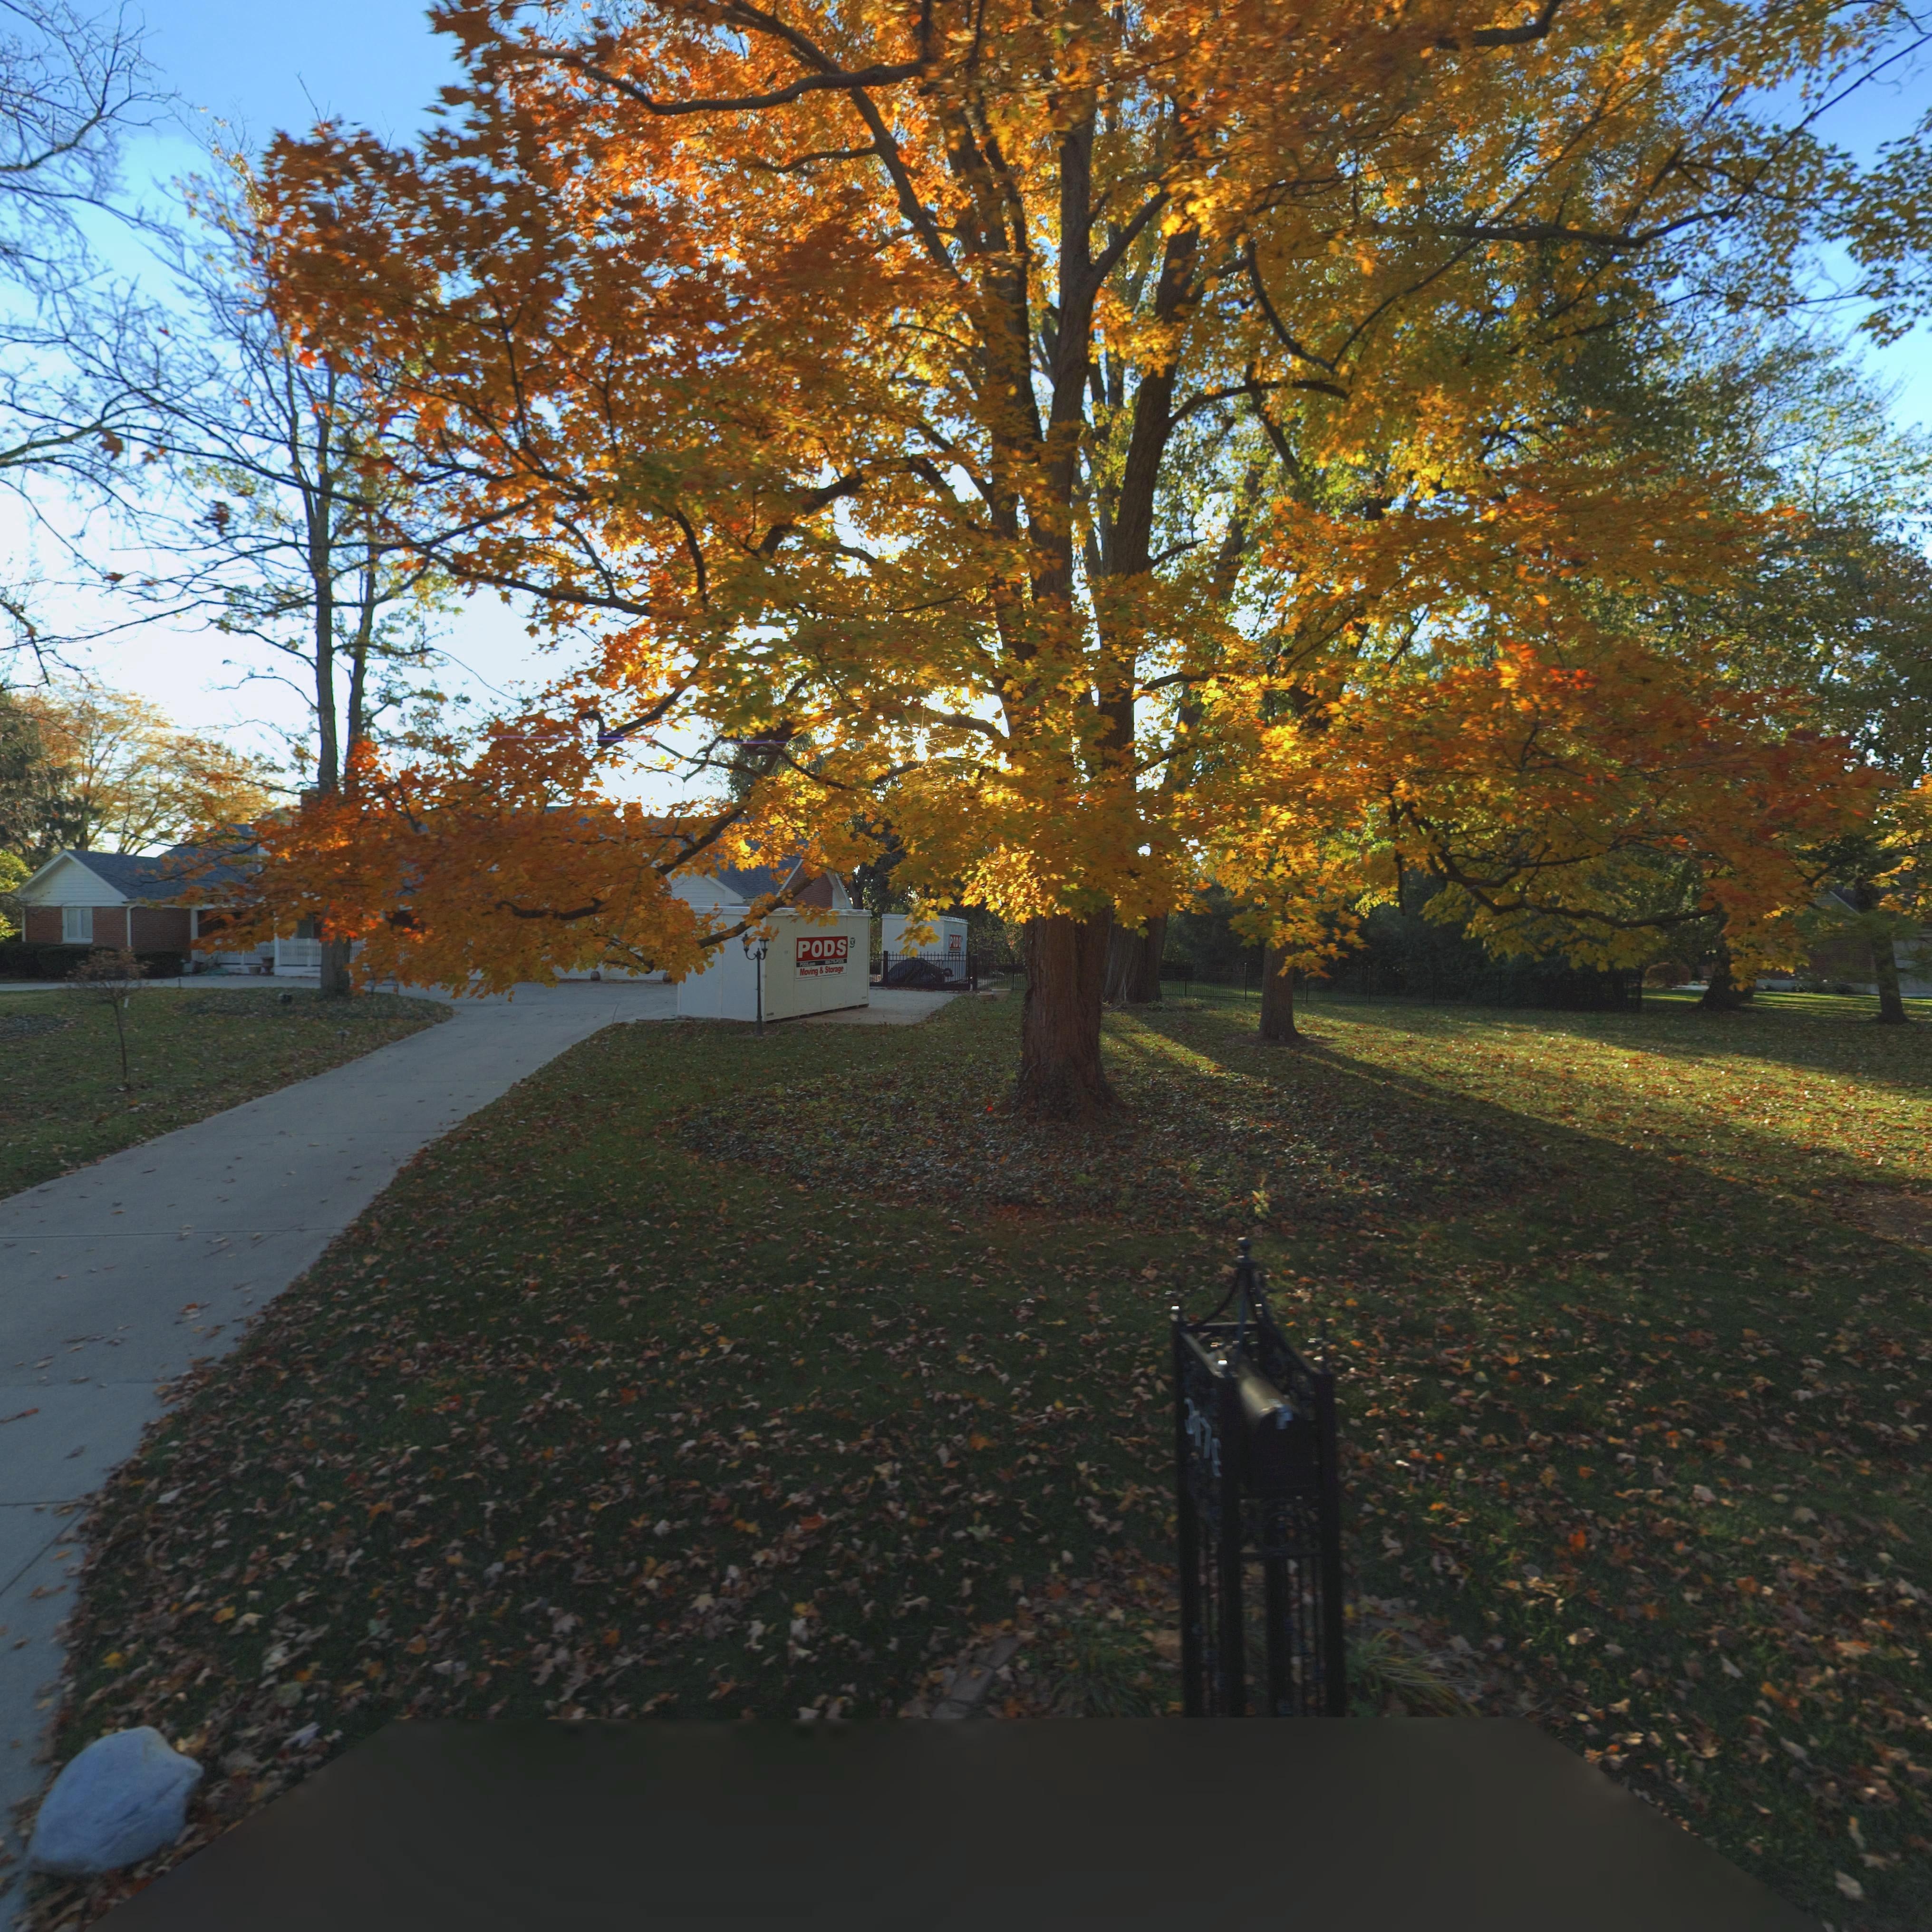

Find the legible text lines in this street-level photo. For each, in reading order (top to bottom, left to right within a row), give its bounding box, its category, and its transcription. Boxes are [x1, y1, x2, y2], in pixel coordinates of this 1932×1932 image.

[1182, 1388, 1223, 1484] StreetNumber: 3179